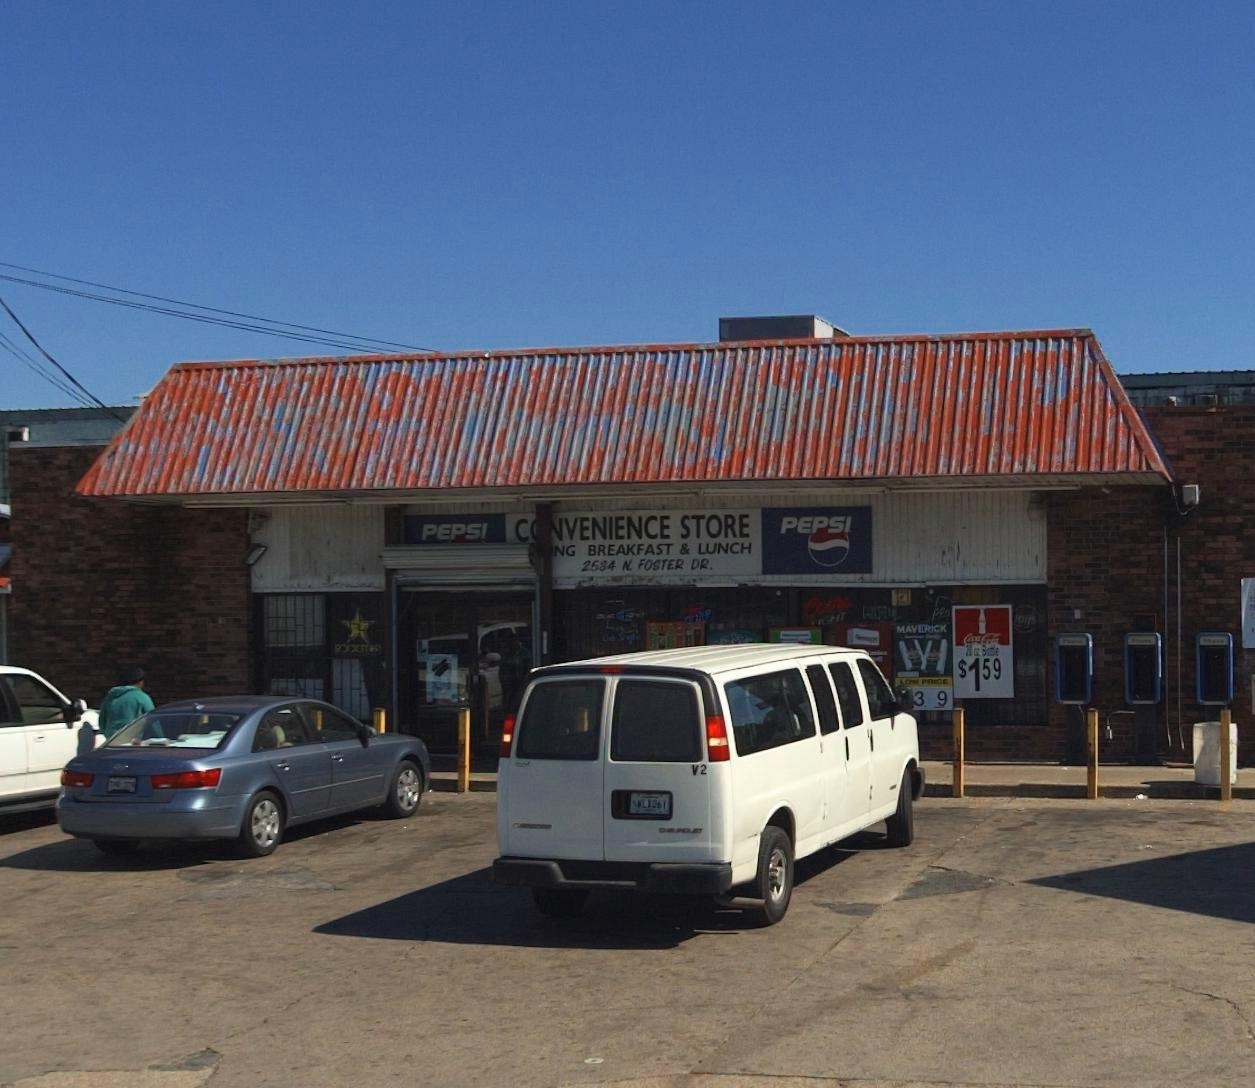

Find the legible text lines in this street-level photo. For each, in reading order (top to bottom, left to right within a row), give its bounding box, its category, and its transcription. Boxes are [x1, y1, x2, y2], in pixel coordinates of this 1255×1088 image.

[419, 520, 491, 543] None: PEPSI
[512, 512, 752, 544] BusinessName: C**VENIENCE STORE
[777, 513, 857, 537] None: PEPSI
[552, 540, 755, 558] None: NG BREAKFAST & LUNCH
[577, 557, 621, 575] None: 2584
[617, 555, 718, 573] None: N. FOSTER DR.
[800, 594, 855, 622] None: Coors
[810, 610, 849, 628] None: *IGHT
[895, 623, 949, 635] None: MAVERICK
[961, 630, 1003, 645] None: CocaCola
[963, 642, 1002, 657] None: 20oz Bottle
[966, 656, 1004, 695] None: 159
[912, 687, 951, 709] None: 3.*9
[689, 762, 710, 777] None: V2
[636, 797, 668, 811] None: *l*061